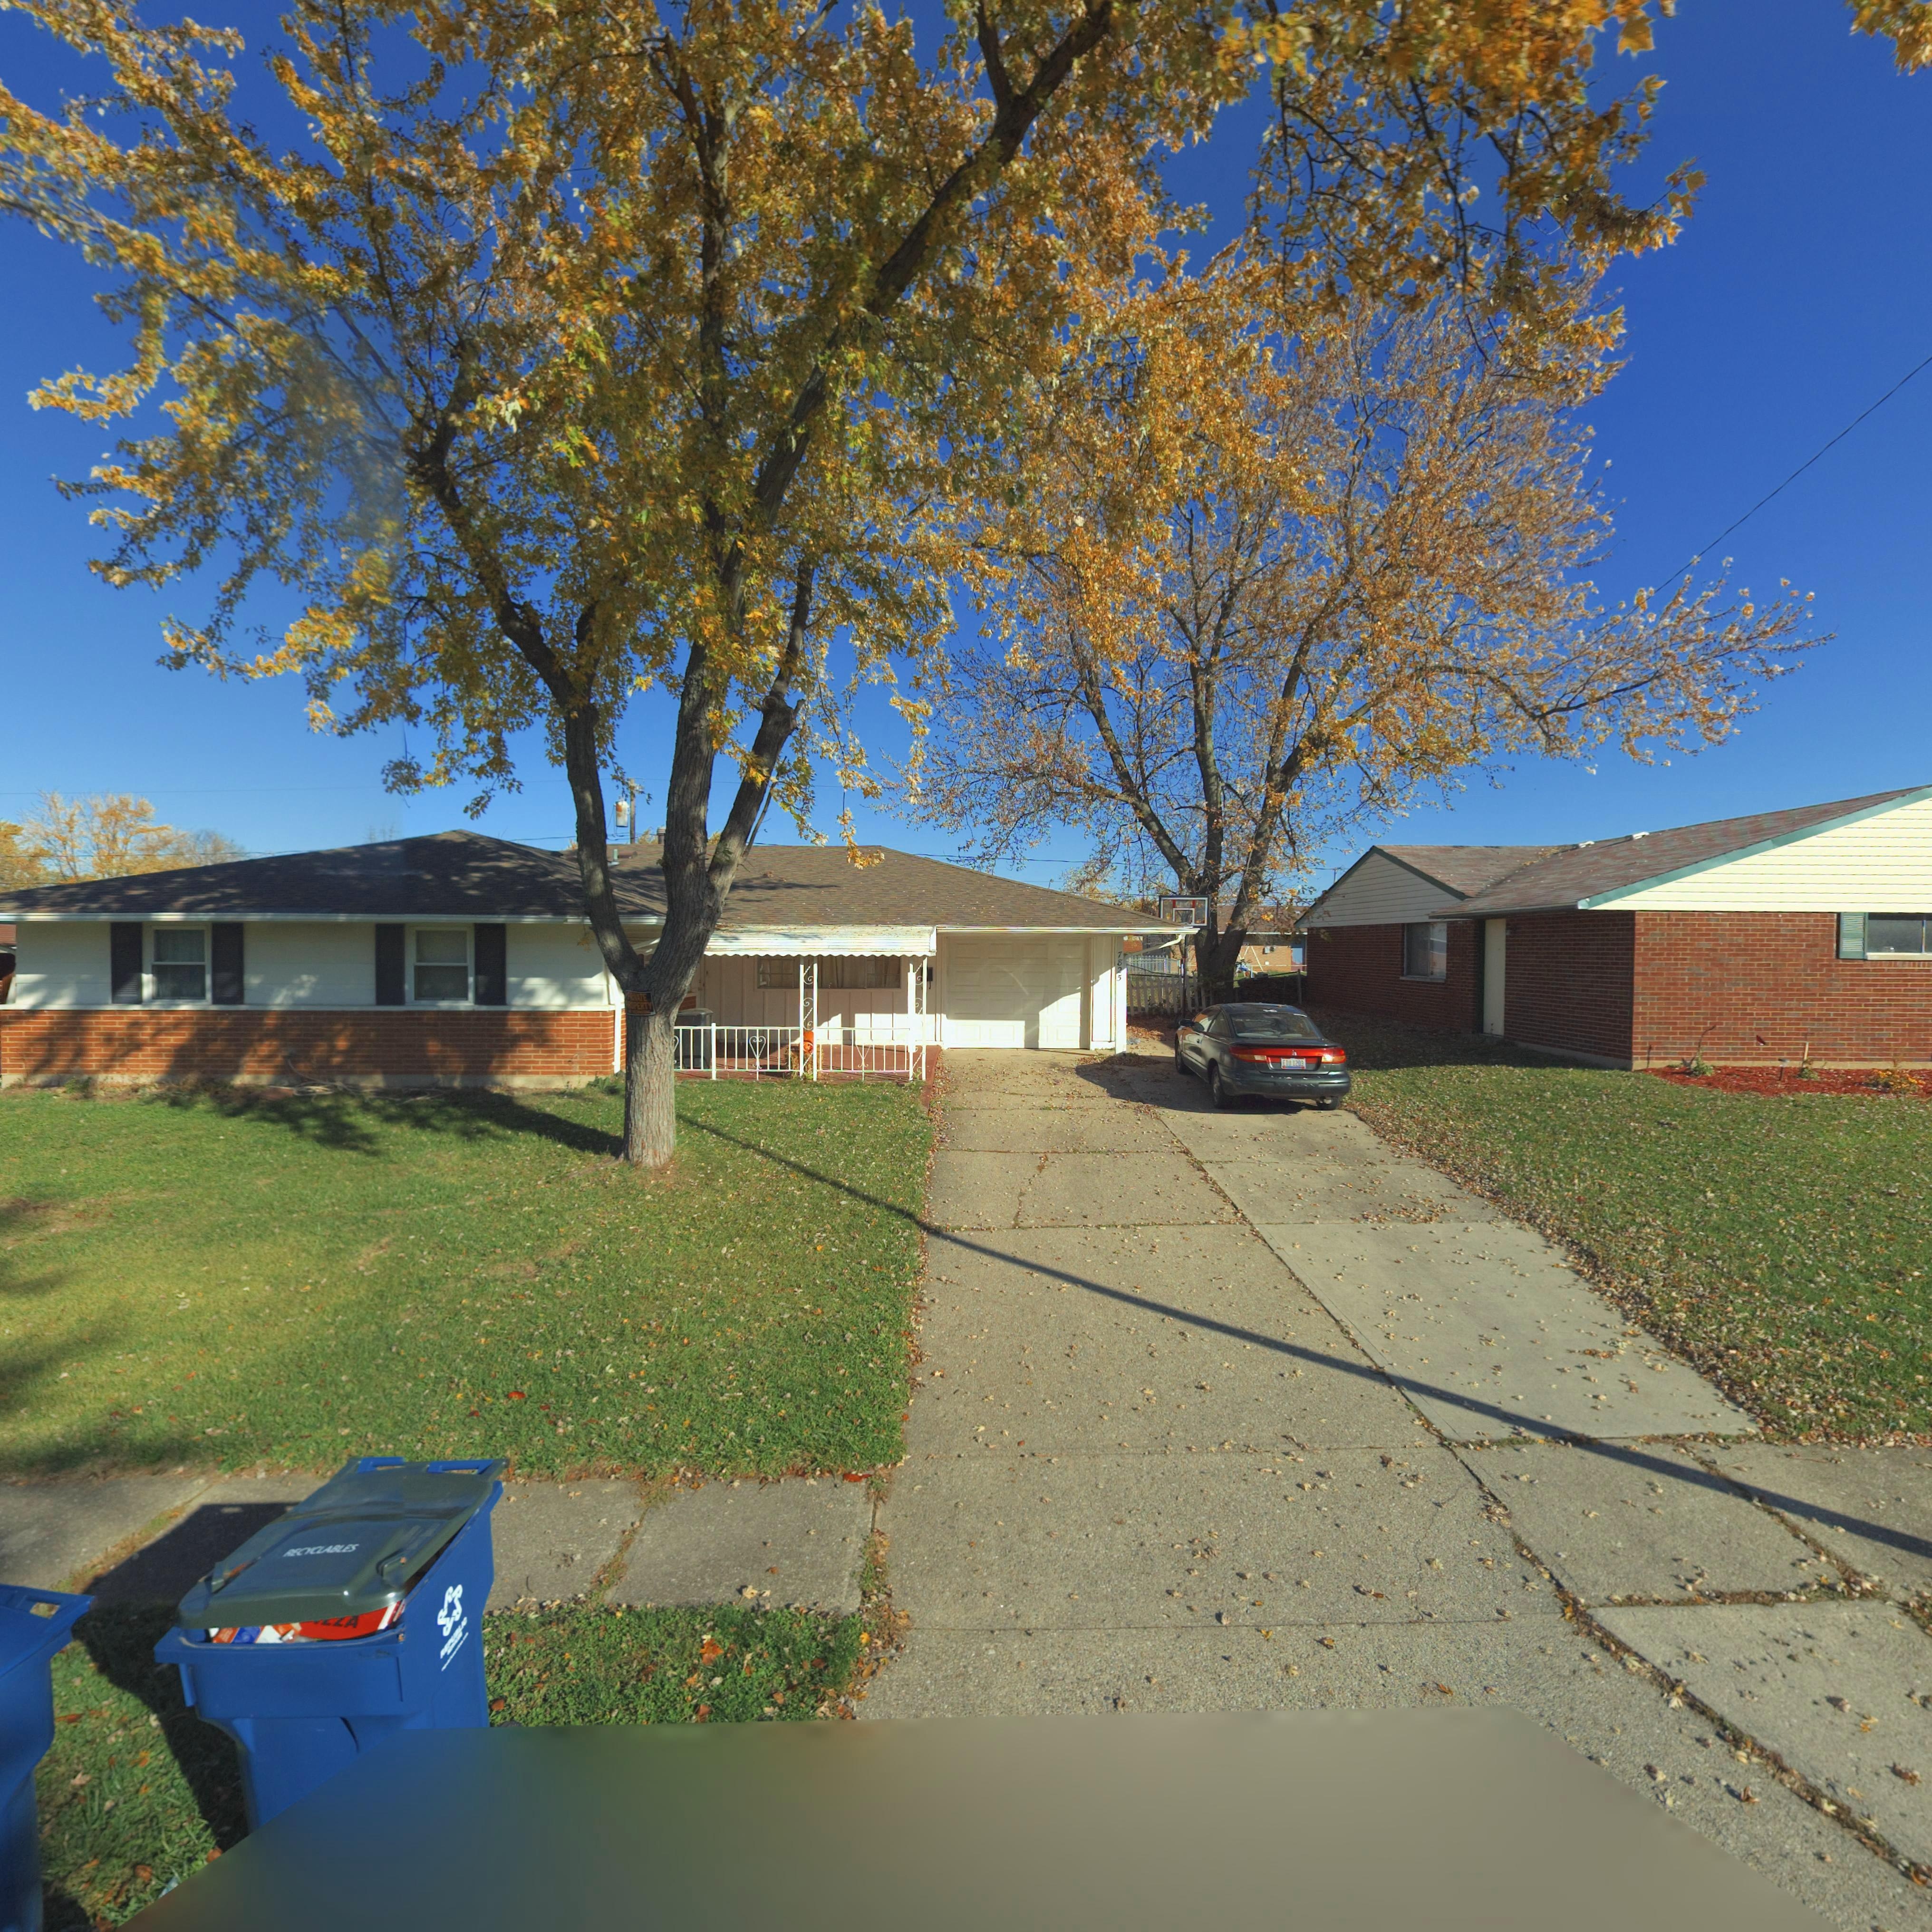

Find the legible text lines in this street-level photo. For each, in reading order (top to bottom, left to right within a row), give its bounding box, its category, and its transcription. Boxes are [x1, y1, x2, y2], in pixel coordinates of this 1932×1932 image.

[1116, 951, 1123, 982] StreetNumber: 7825